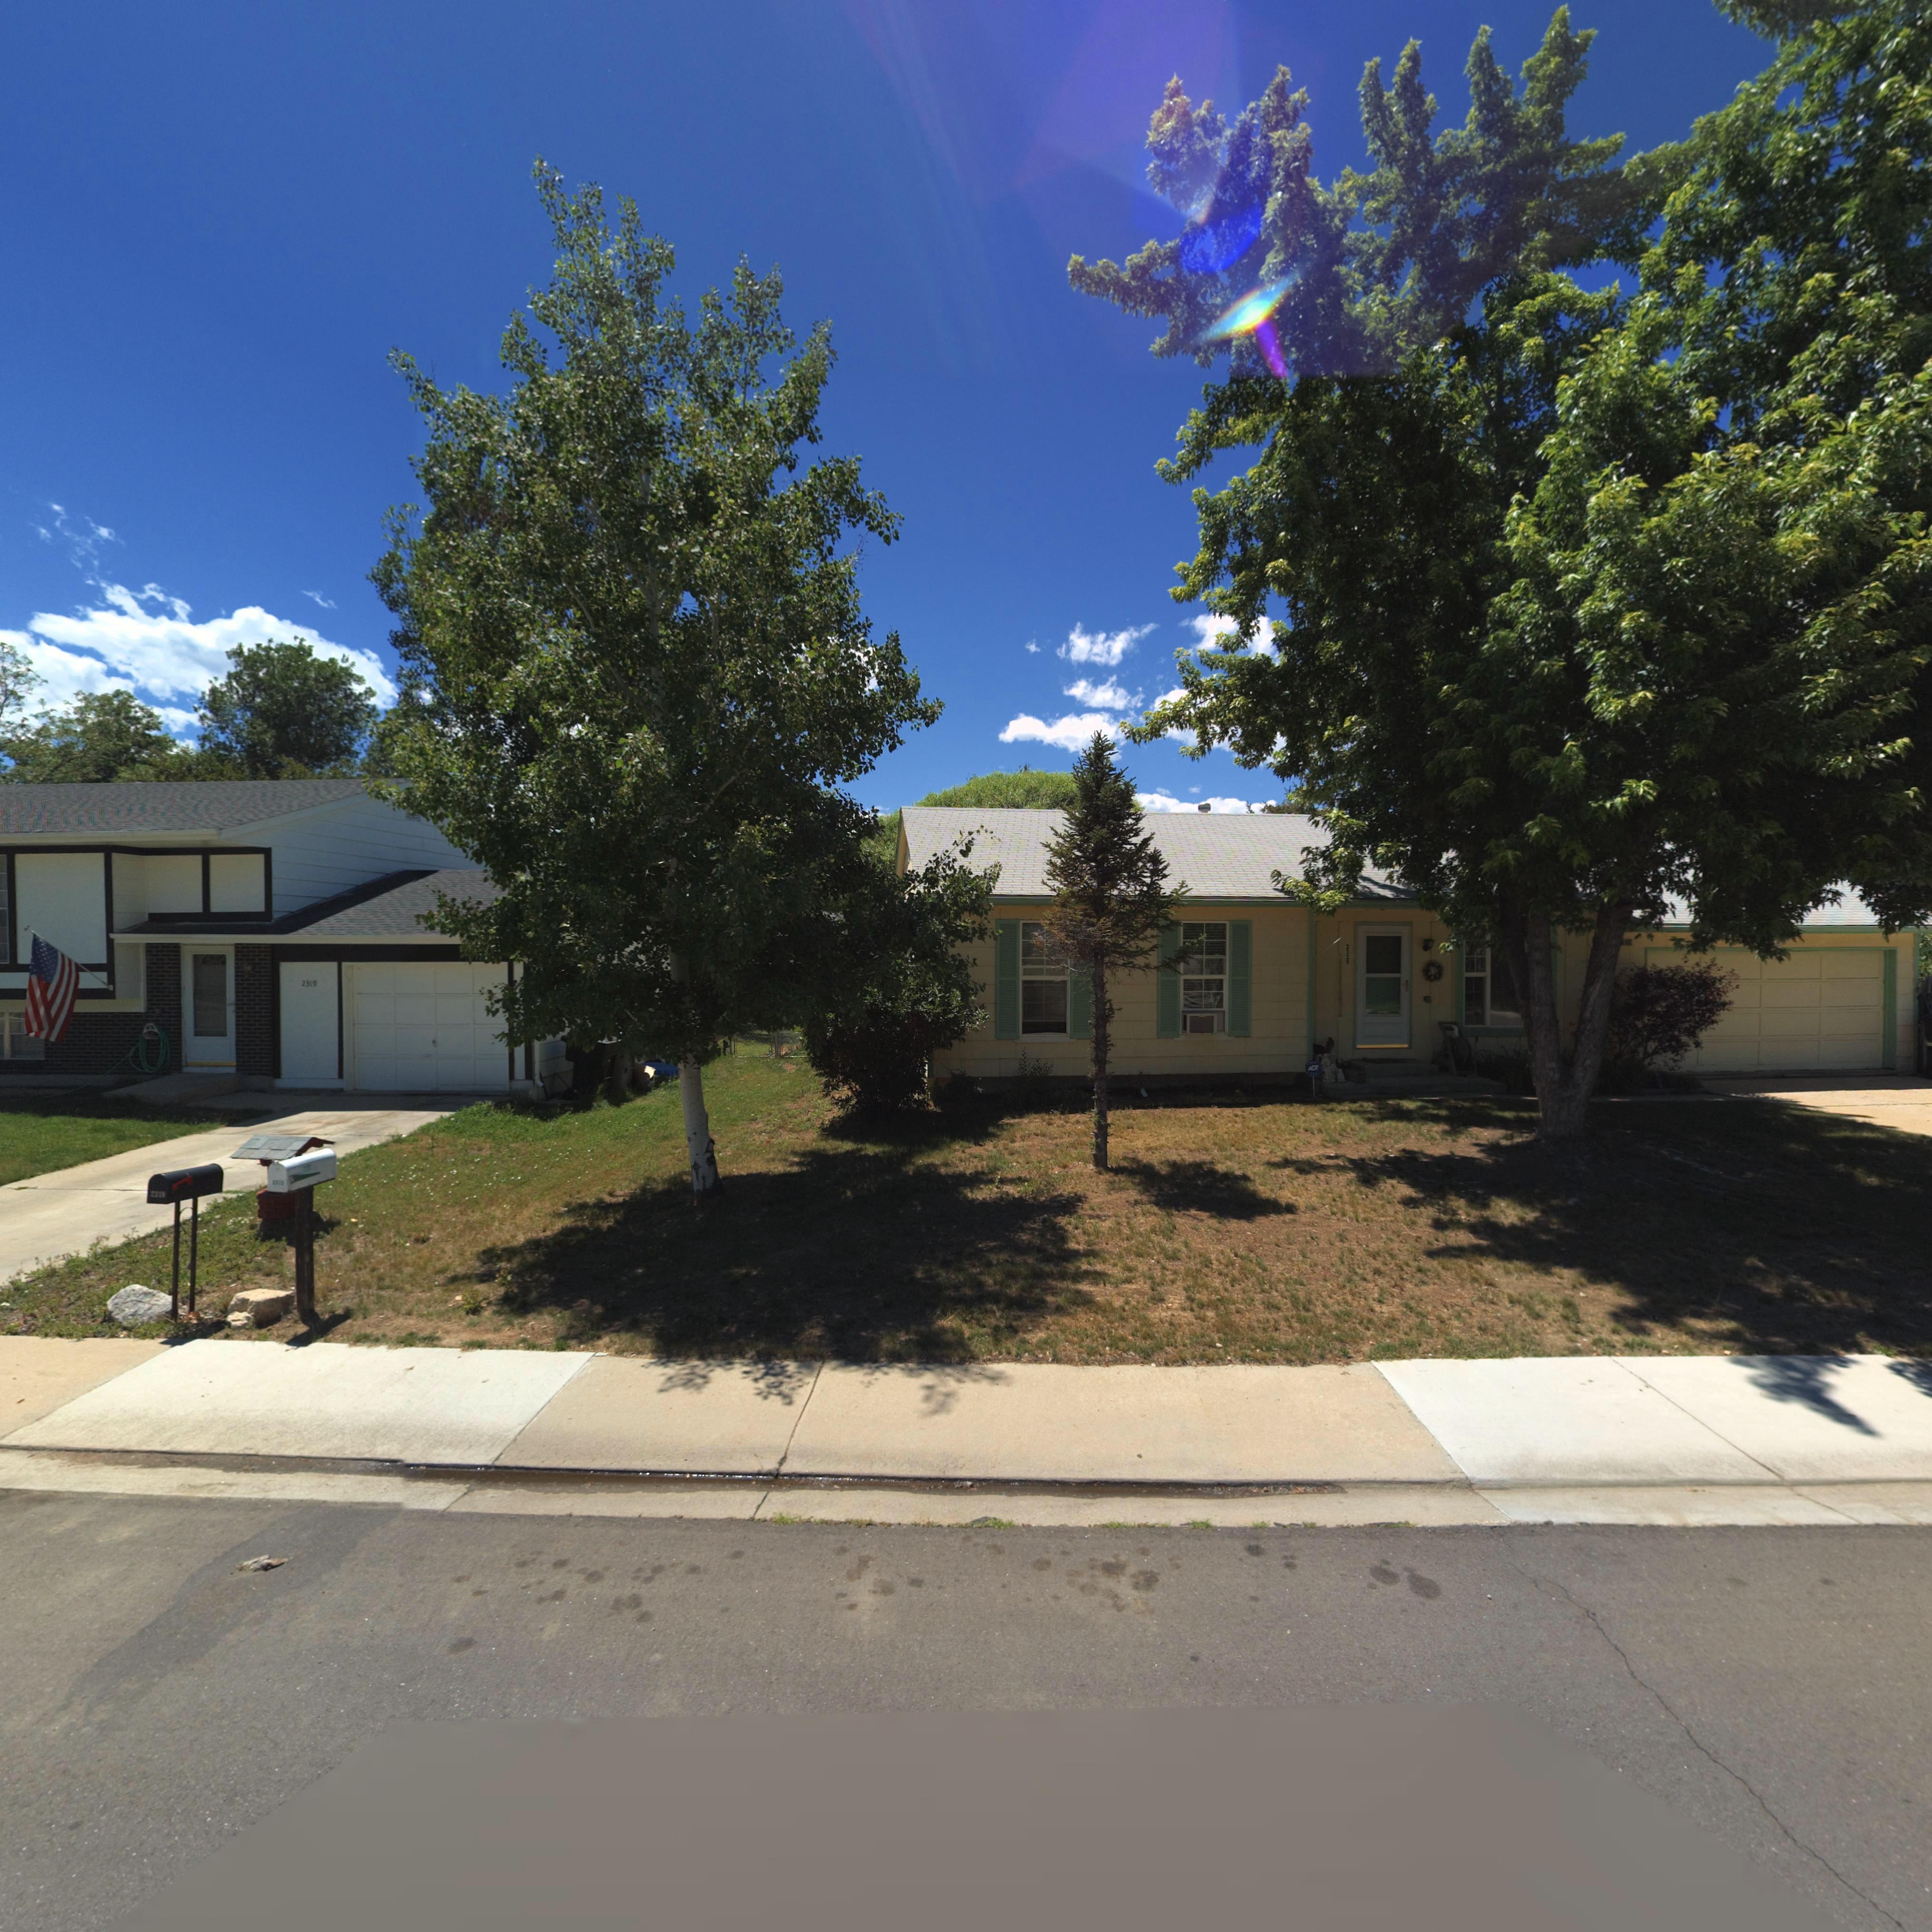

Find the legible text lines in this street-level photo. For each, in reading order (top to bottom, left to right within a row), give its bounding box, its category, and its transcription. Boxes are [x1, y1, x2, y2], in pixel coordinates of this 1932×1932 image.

[1345, 944, 1349, 965] StreetNumber: 2329
[301, 979, 317, 986] StreetNumber: 2319
[271, 1179, 284, 1186] StreetNumber: 23**
[150, 1190, 166, 1198] StreetNumber: 2319